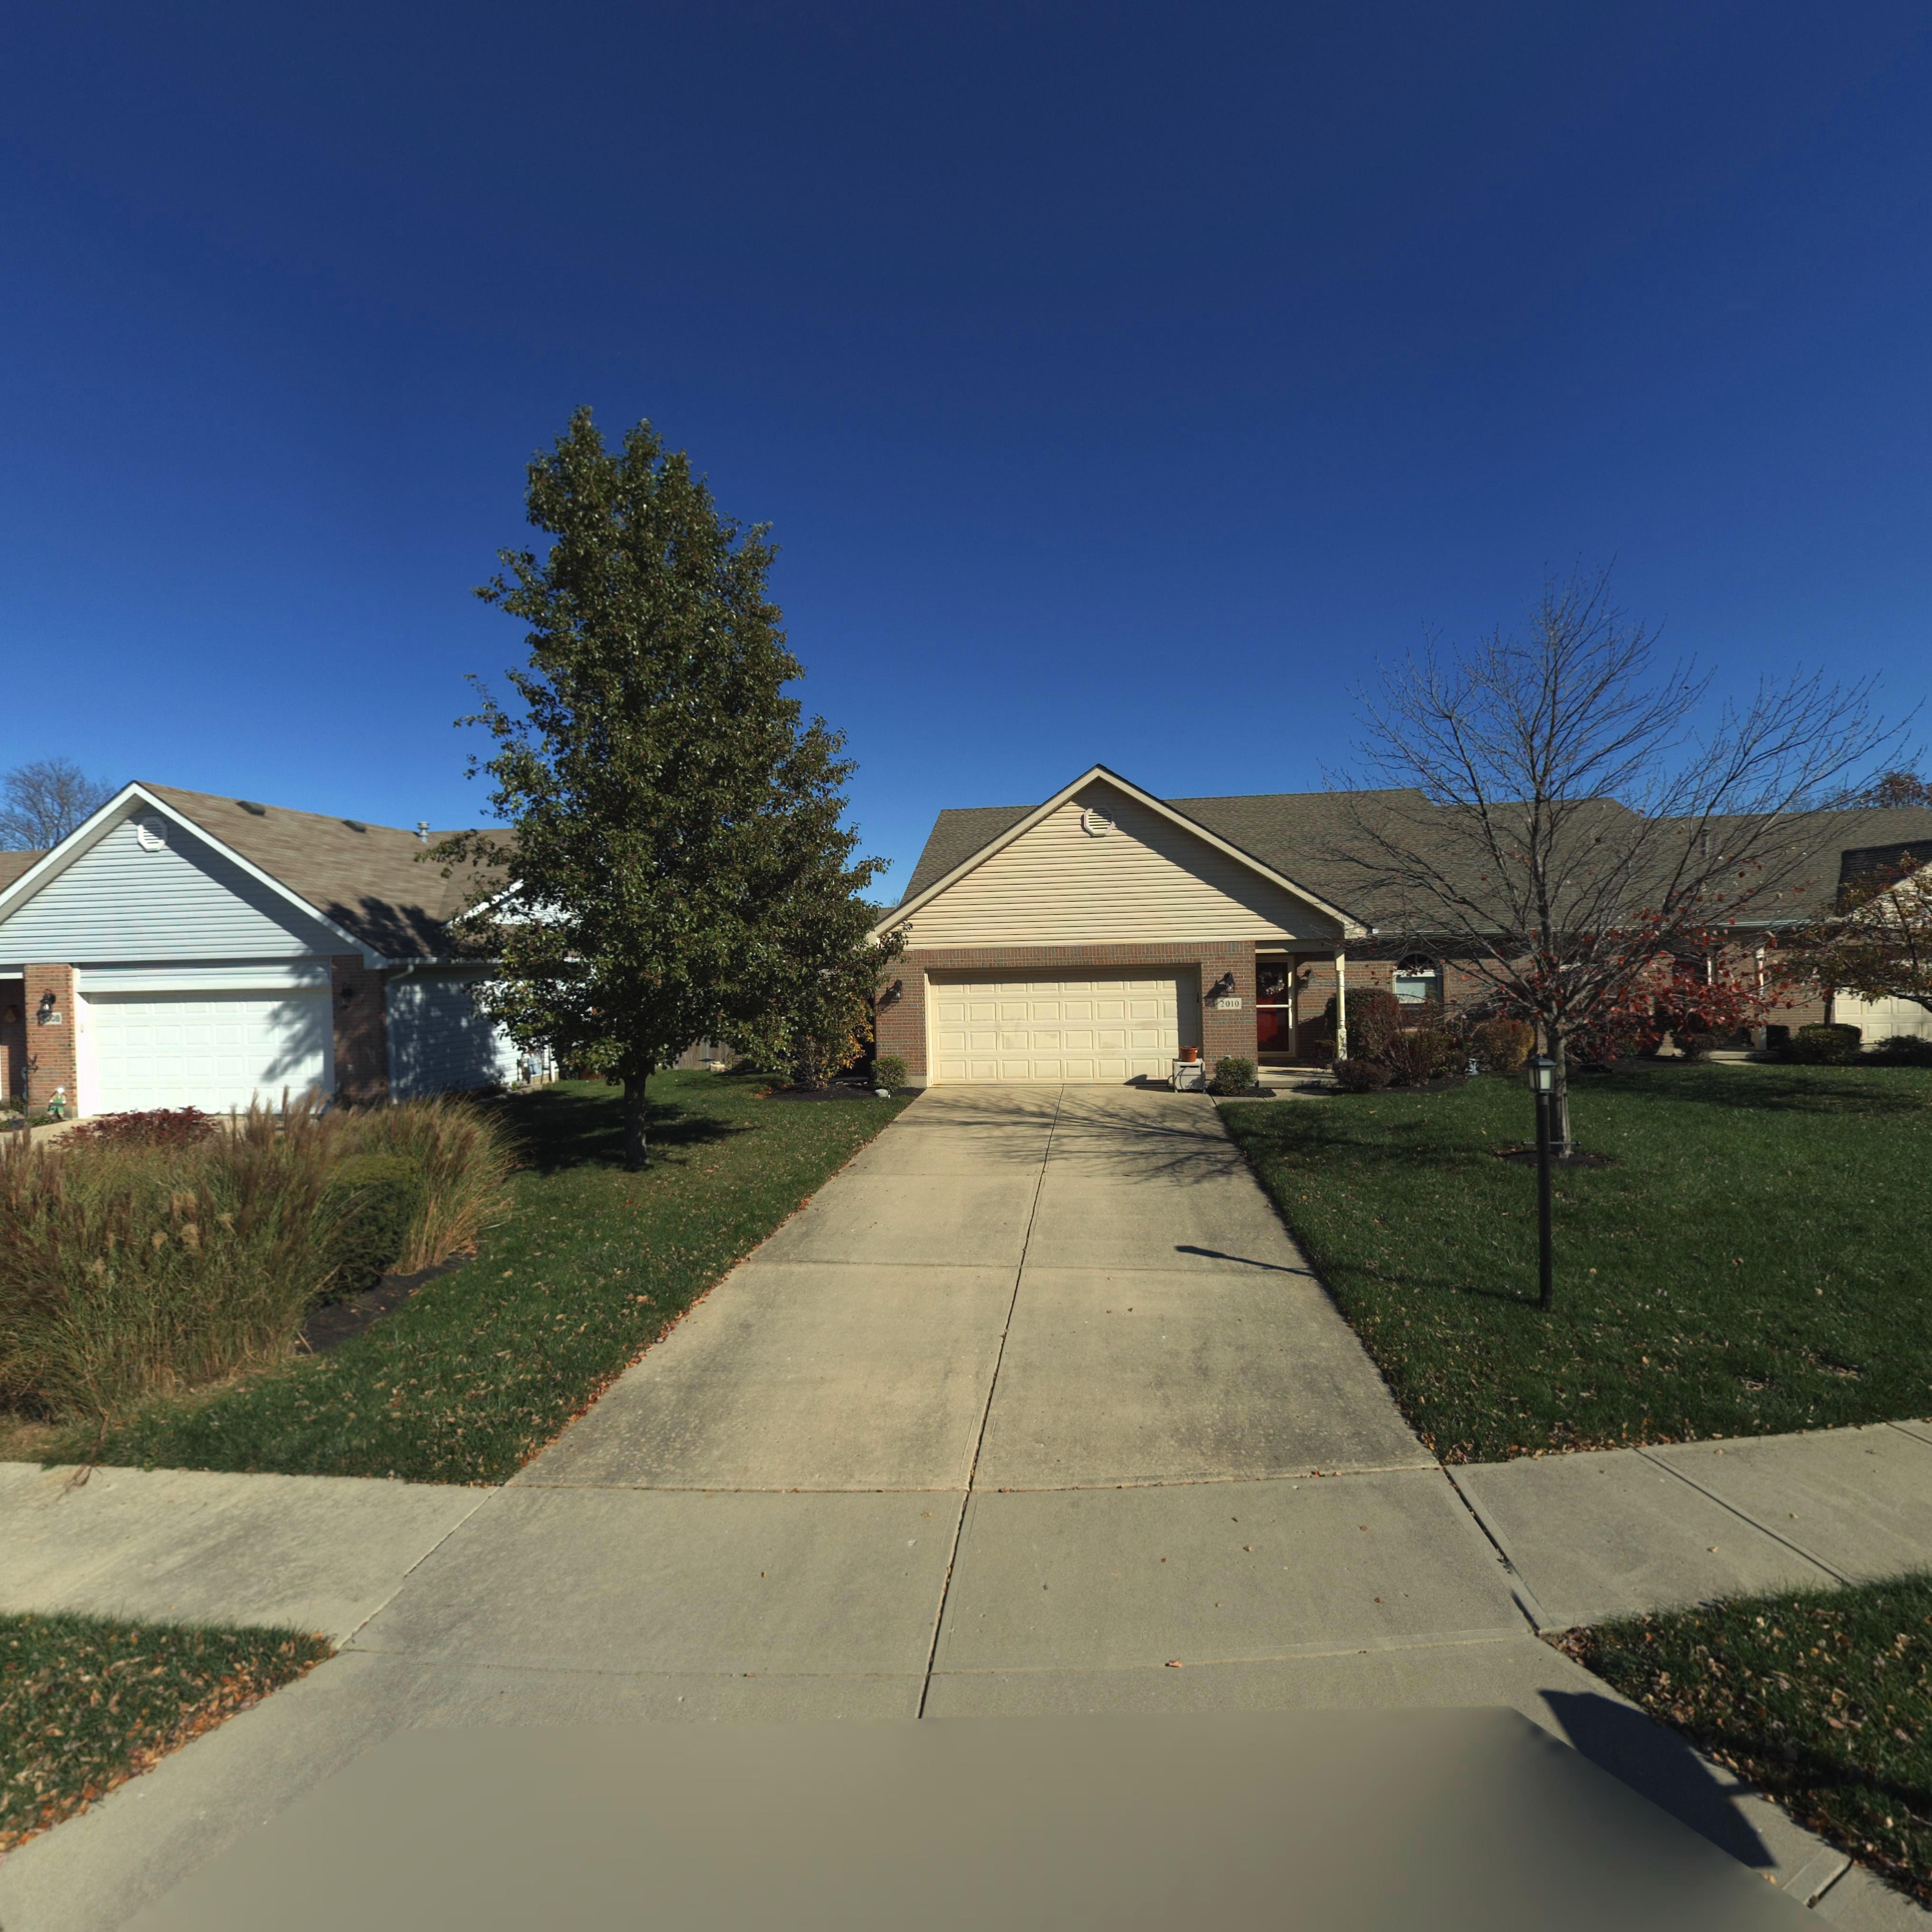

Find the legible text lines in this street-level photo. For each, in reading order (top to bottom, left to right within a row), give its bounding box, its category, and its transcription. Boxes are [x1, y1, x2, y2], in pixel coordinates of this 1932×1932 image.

[1219, 999, 1240, 1008] StreetNumber: 2010
[40, 1014, 61, 1023] StreetNumber: **08